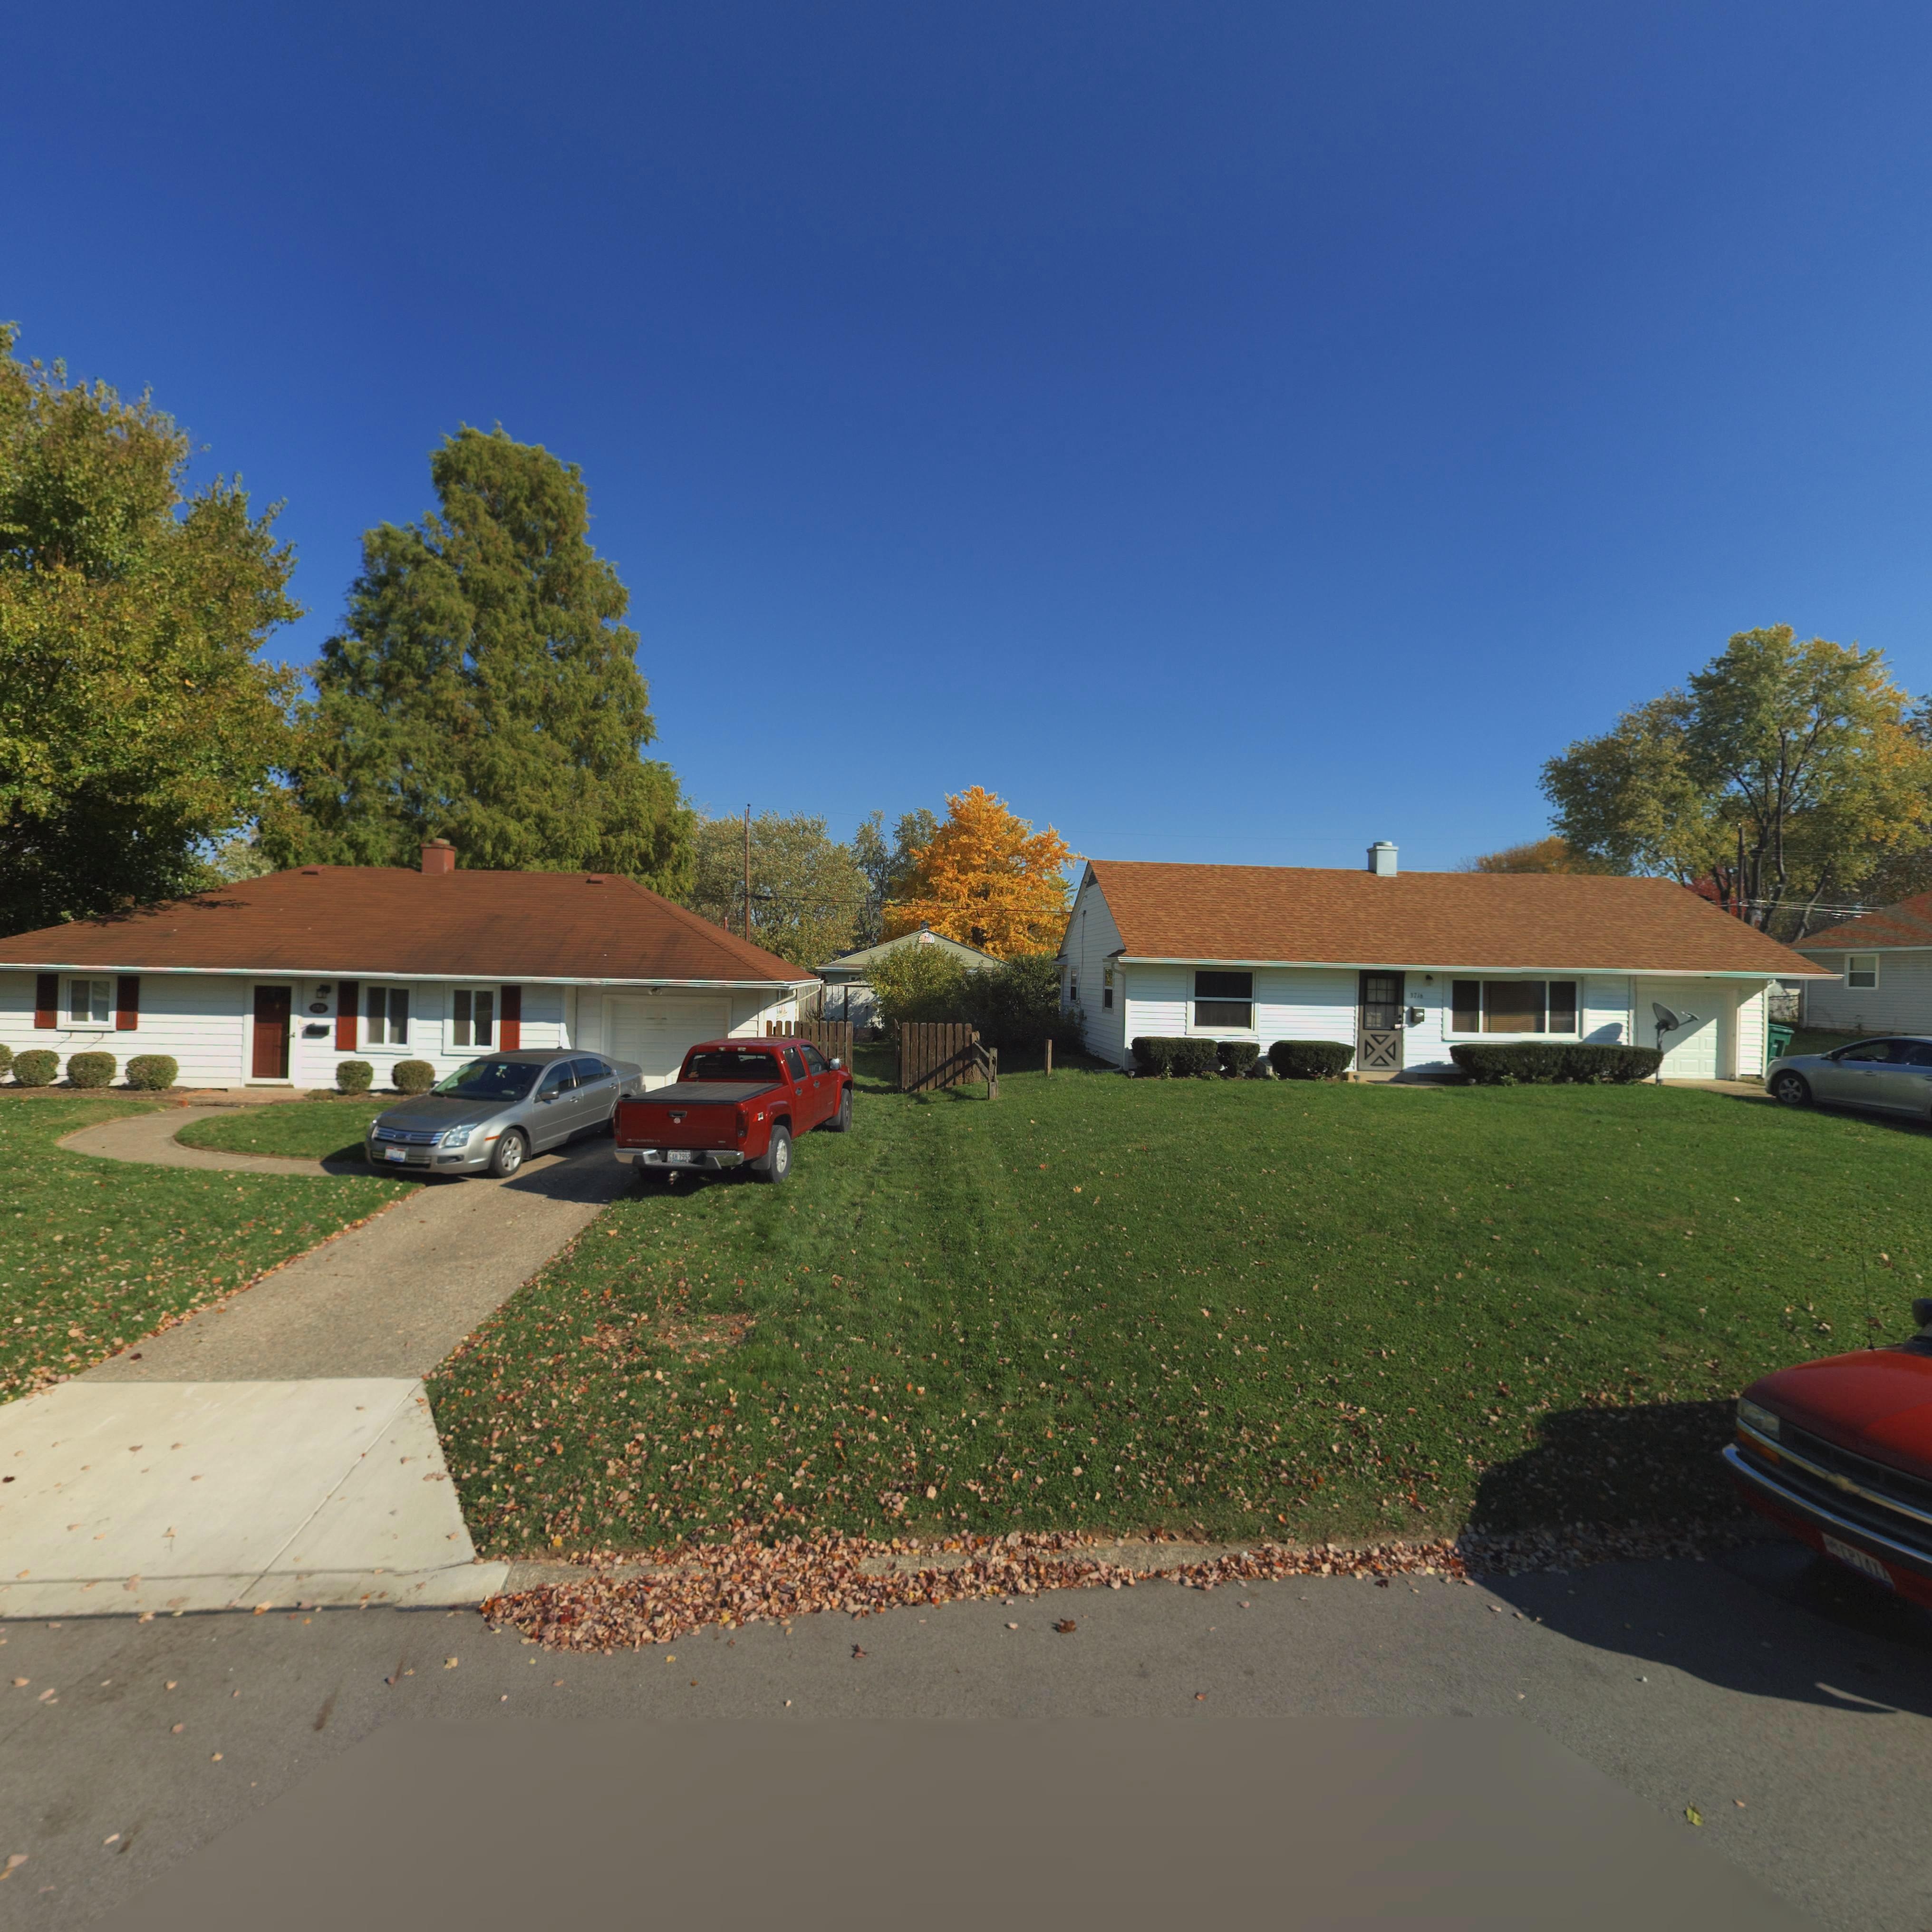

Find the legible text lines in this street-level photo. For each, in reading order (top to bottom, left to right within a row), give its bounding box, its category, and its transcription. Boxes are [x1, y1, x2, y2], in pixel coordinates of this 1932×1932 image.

[1409, 992, 1424, 999] StreetNumber: 3716
[667, 1152, 691, 1161] None: GAH 7992
[1838, 1544, 1888, 1581] None: CP14XX